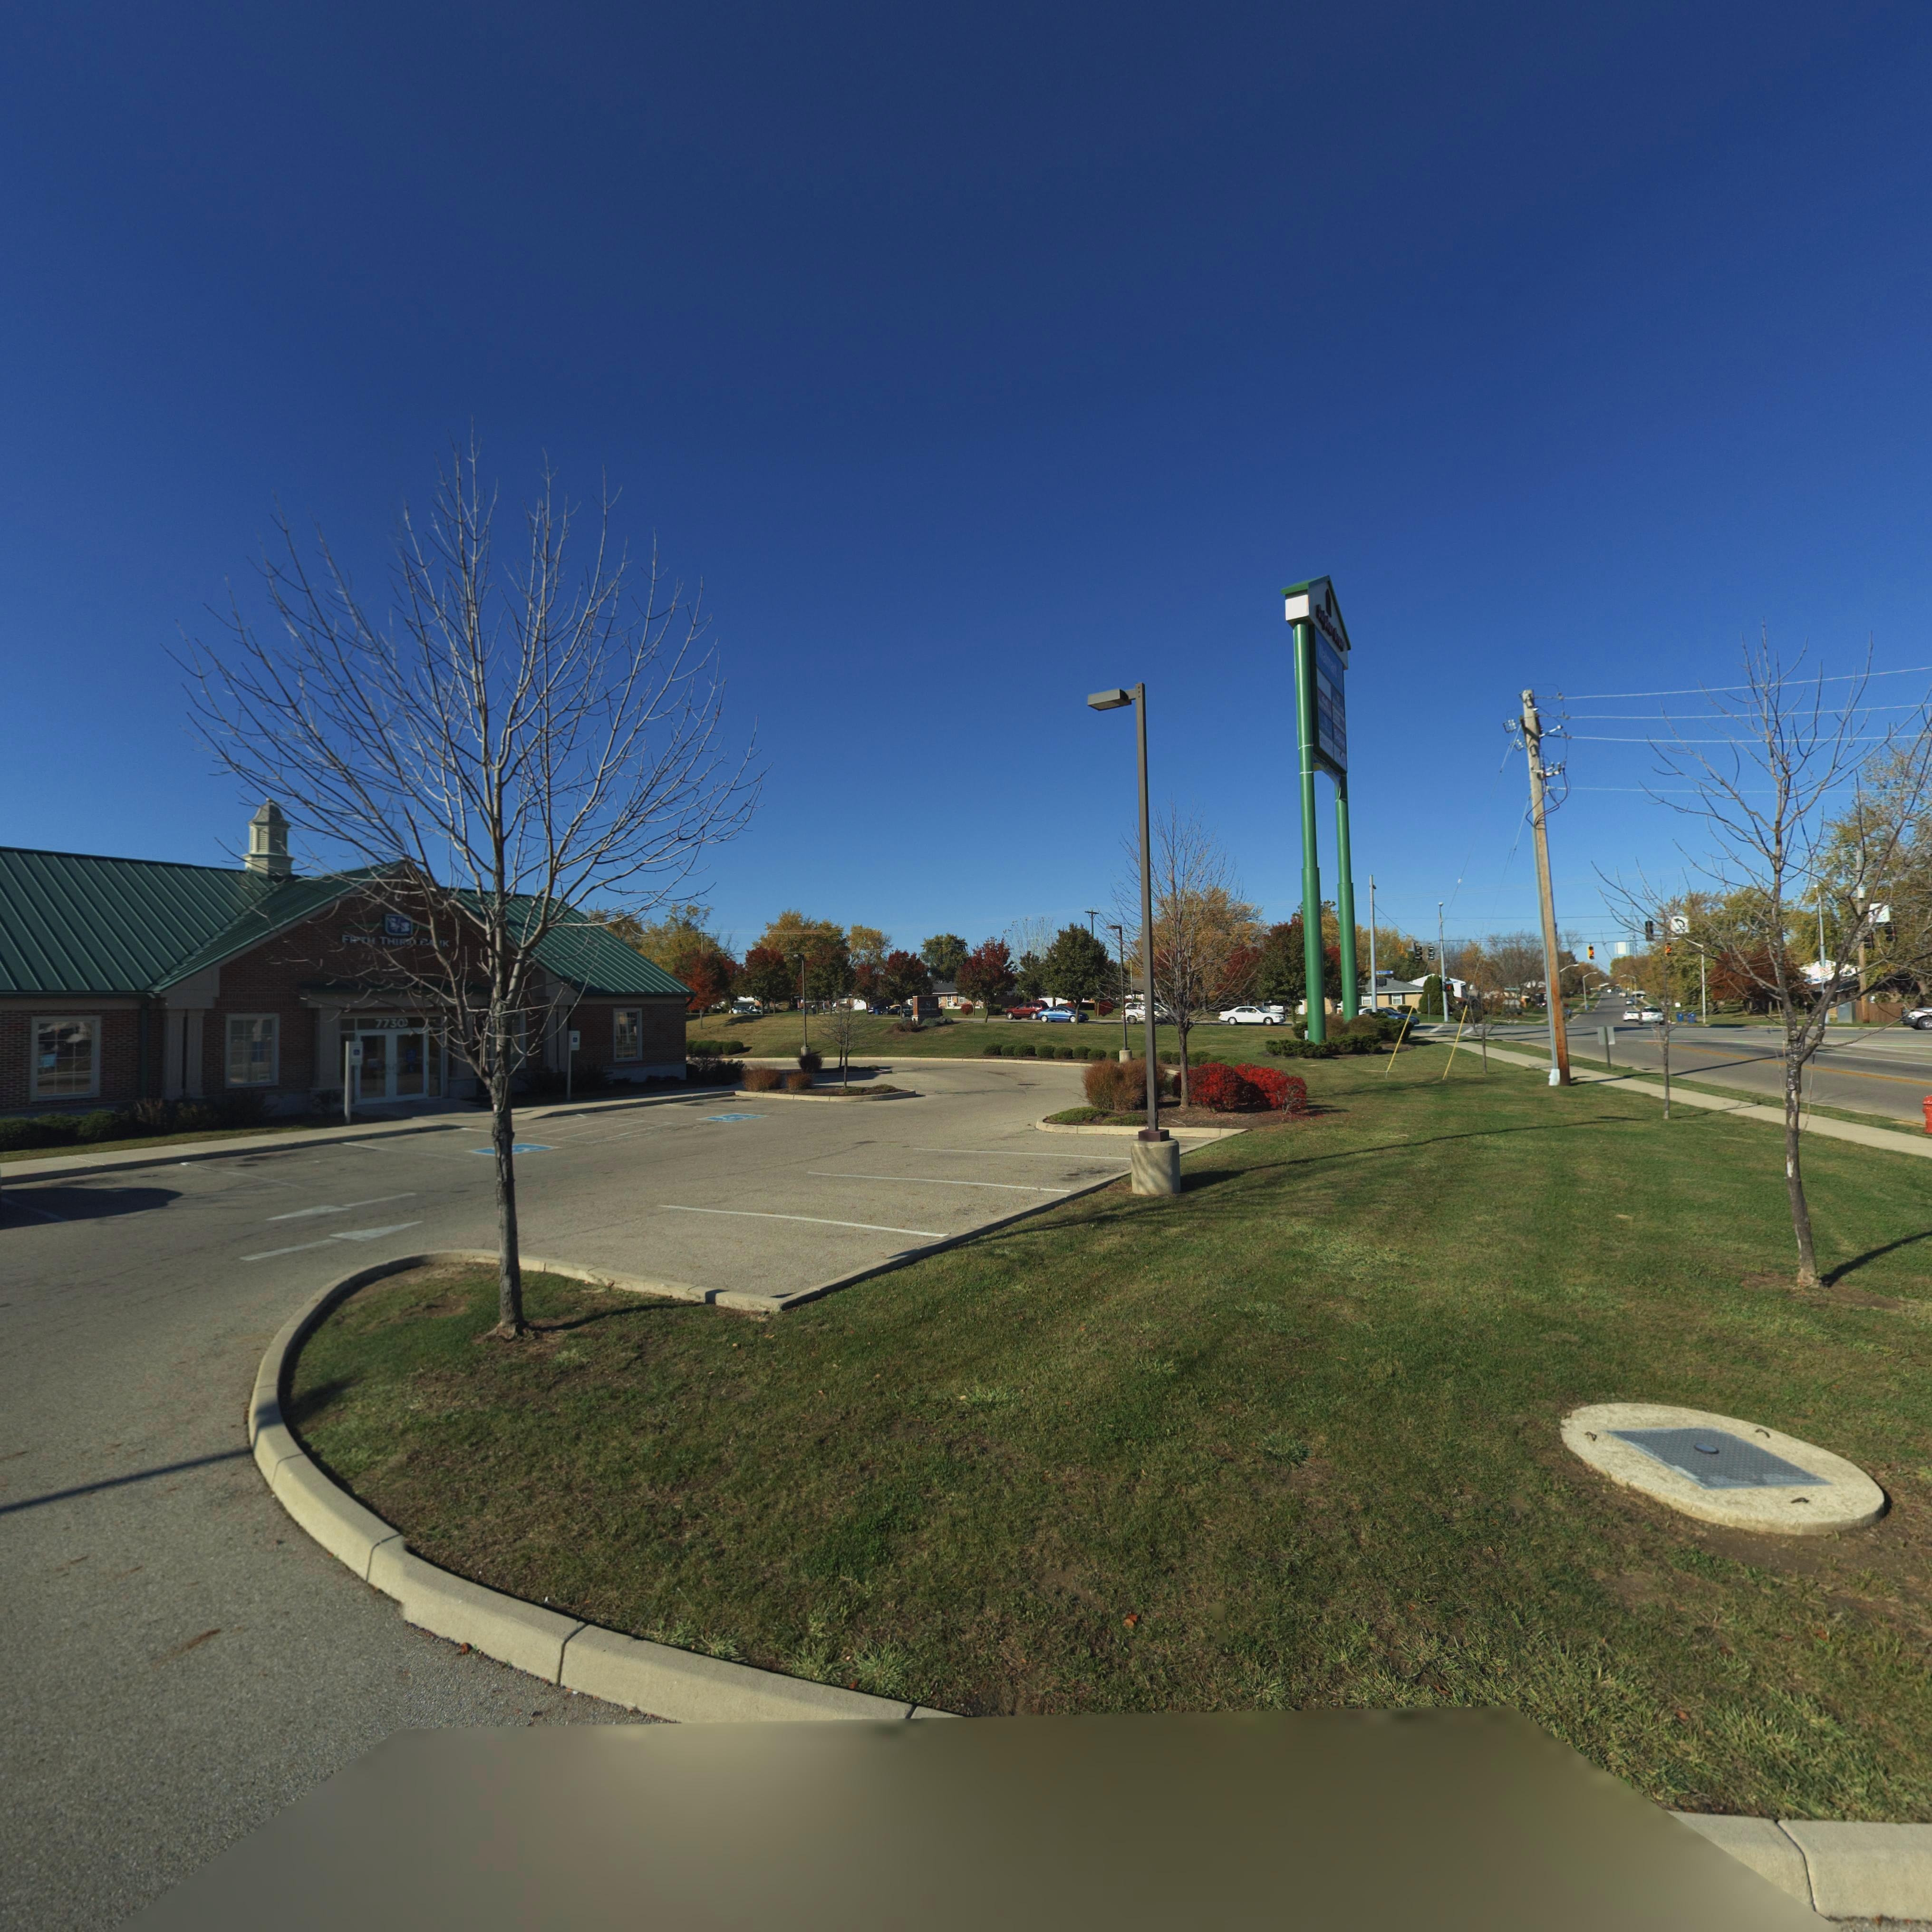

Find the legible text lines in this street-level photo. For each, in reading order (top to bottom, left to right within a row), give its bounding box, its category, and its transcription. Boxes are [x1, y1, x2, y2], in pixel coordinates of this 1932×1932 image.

[340, 933, 450, 948] BusinessName: FI*T* THIR* ***K
[374, 1017, 406, 1030] StreetNumber: 7730